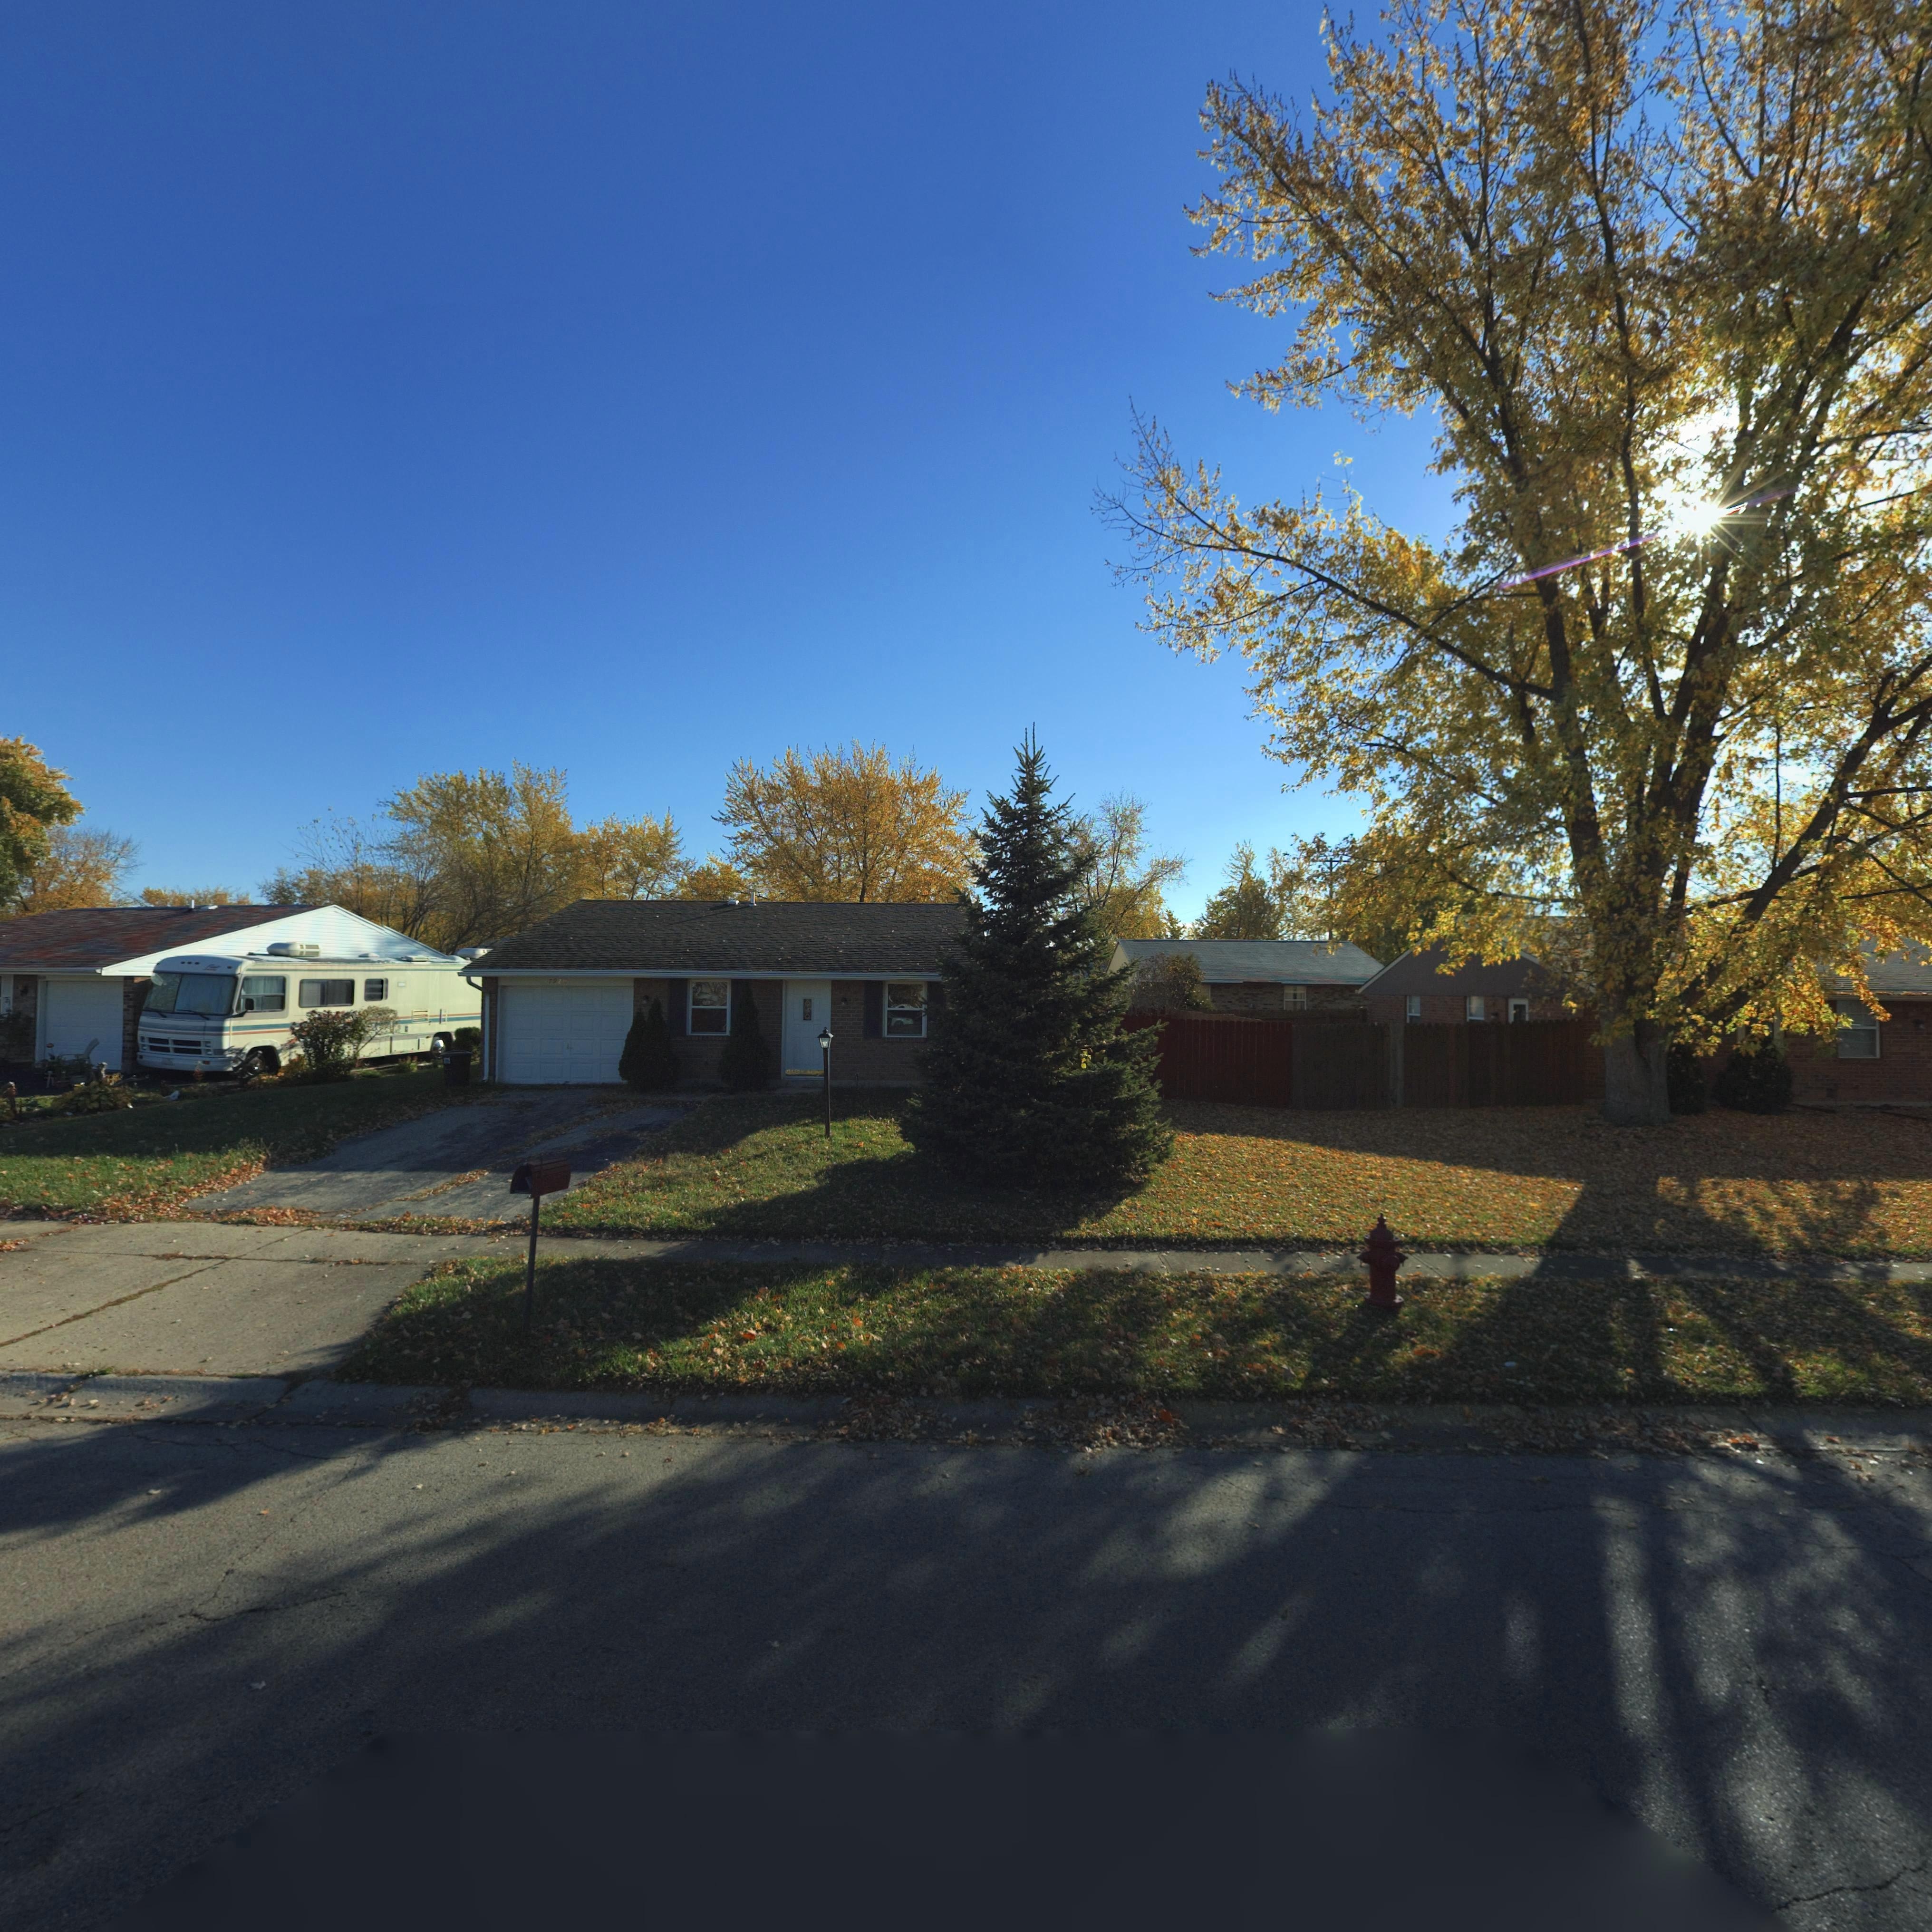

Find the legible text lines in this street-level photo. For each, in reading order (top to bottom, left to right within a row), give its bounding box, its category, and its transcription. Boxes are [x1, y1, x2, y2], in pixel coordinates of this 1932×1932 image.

[547, 977, 569, 985] StreetNumber: 792*